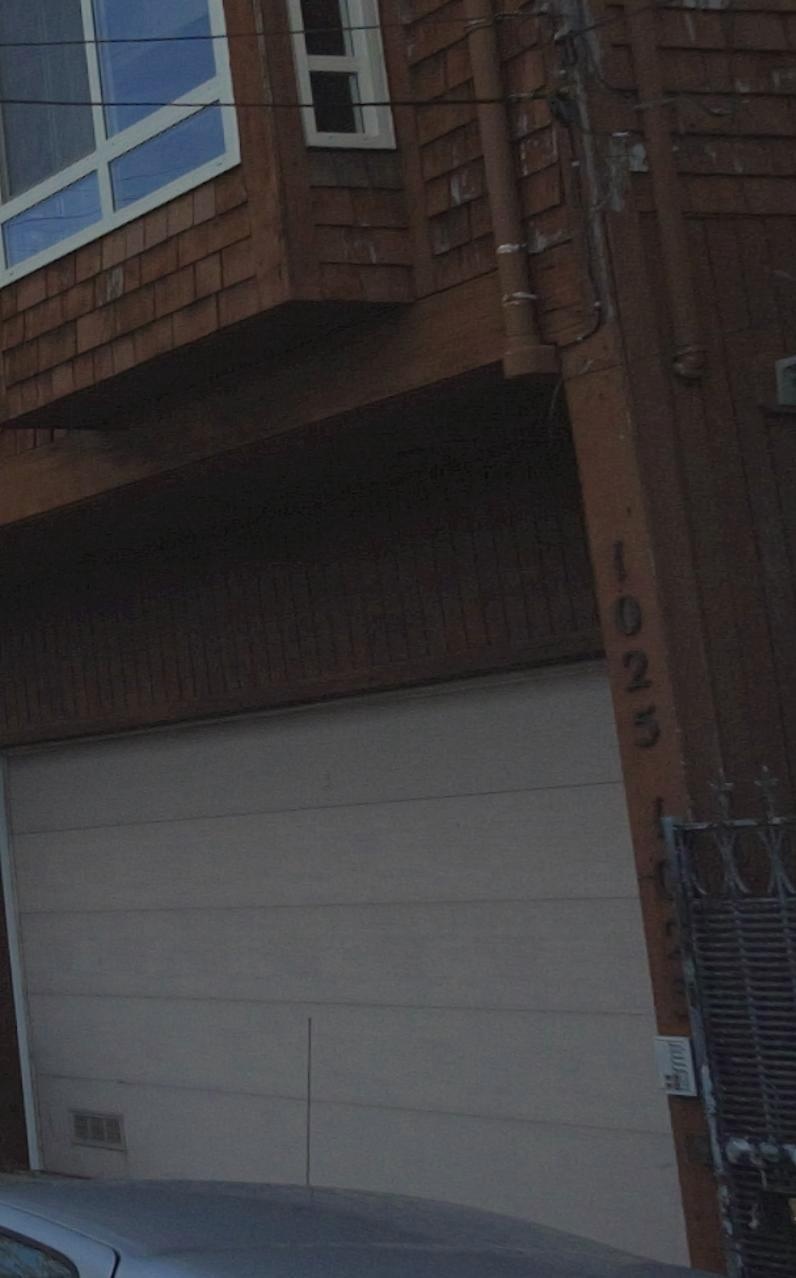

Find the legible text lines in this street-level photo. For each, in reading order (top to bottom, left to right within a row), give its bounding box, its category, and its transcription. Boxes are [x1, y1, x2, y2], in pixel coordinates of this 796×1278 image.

[602, 535, 667, 754] StreetNumber: 1025